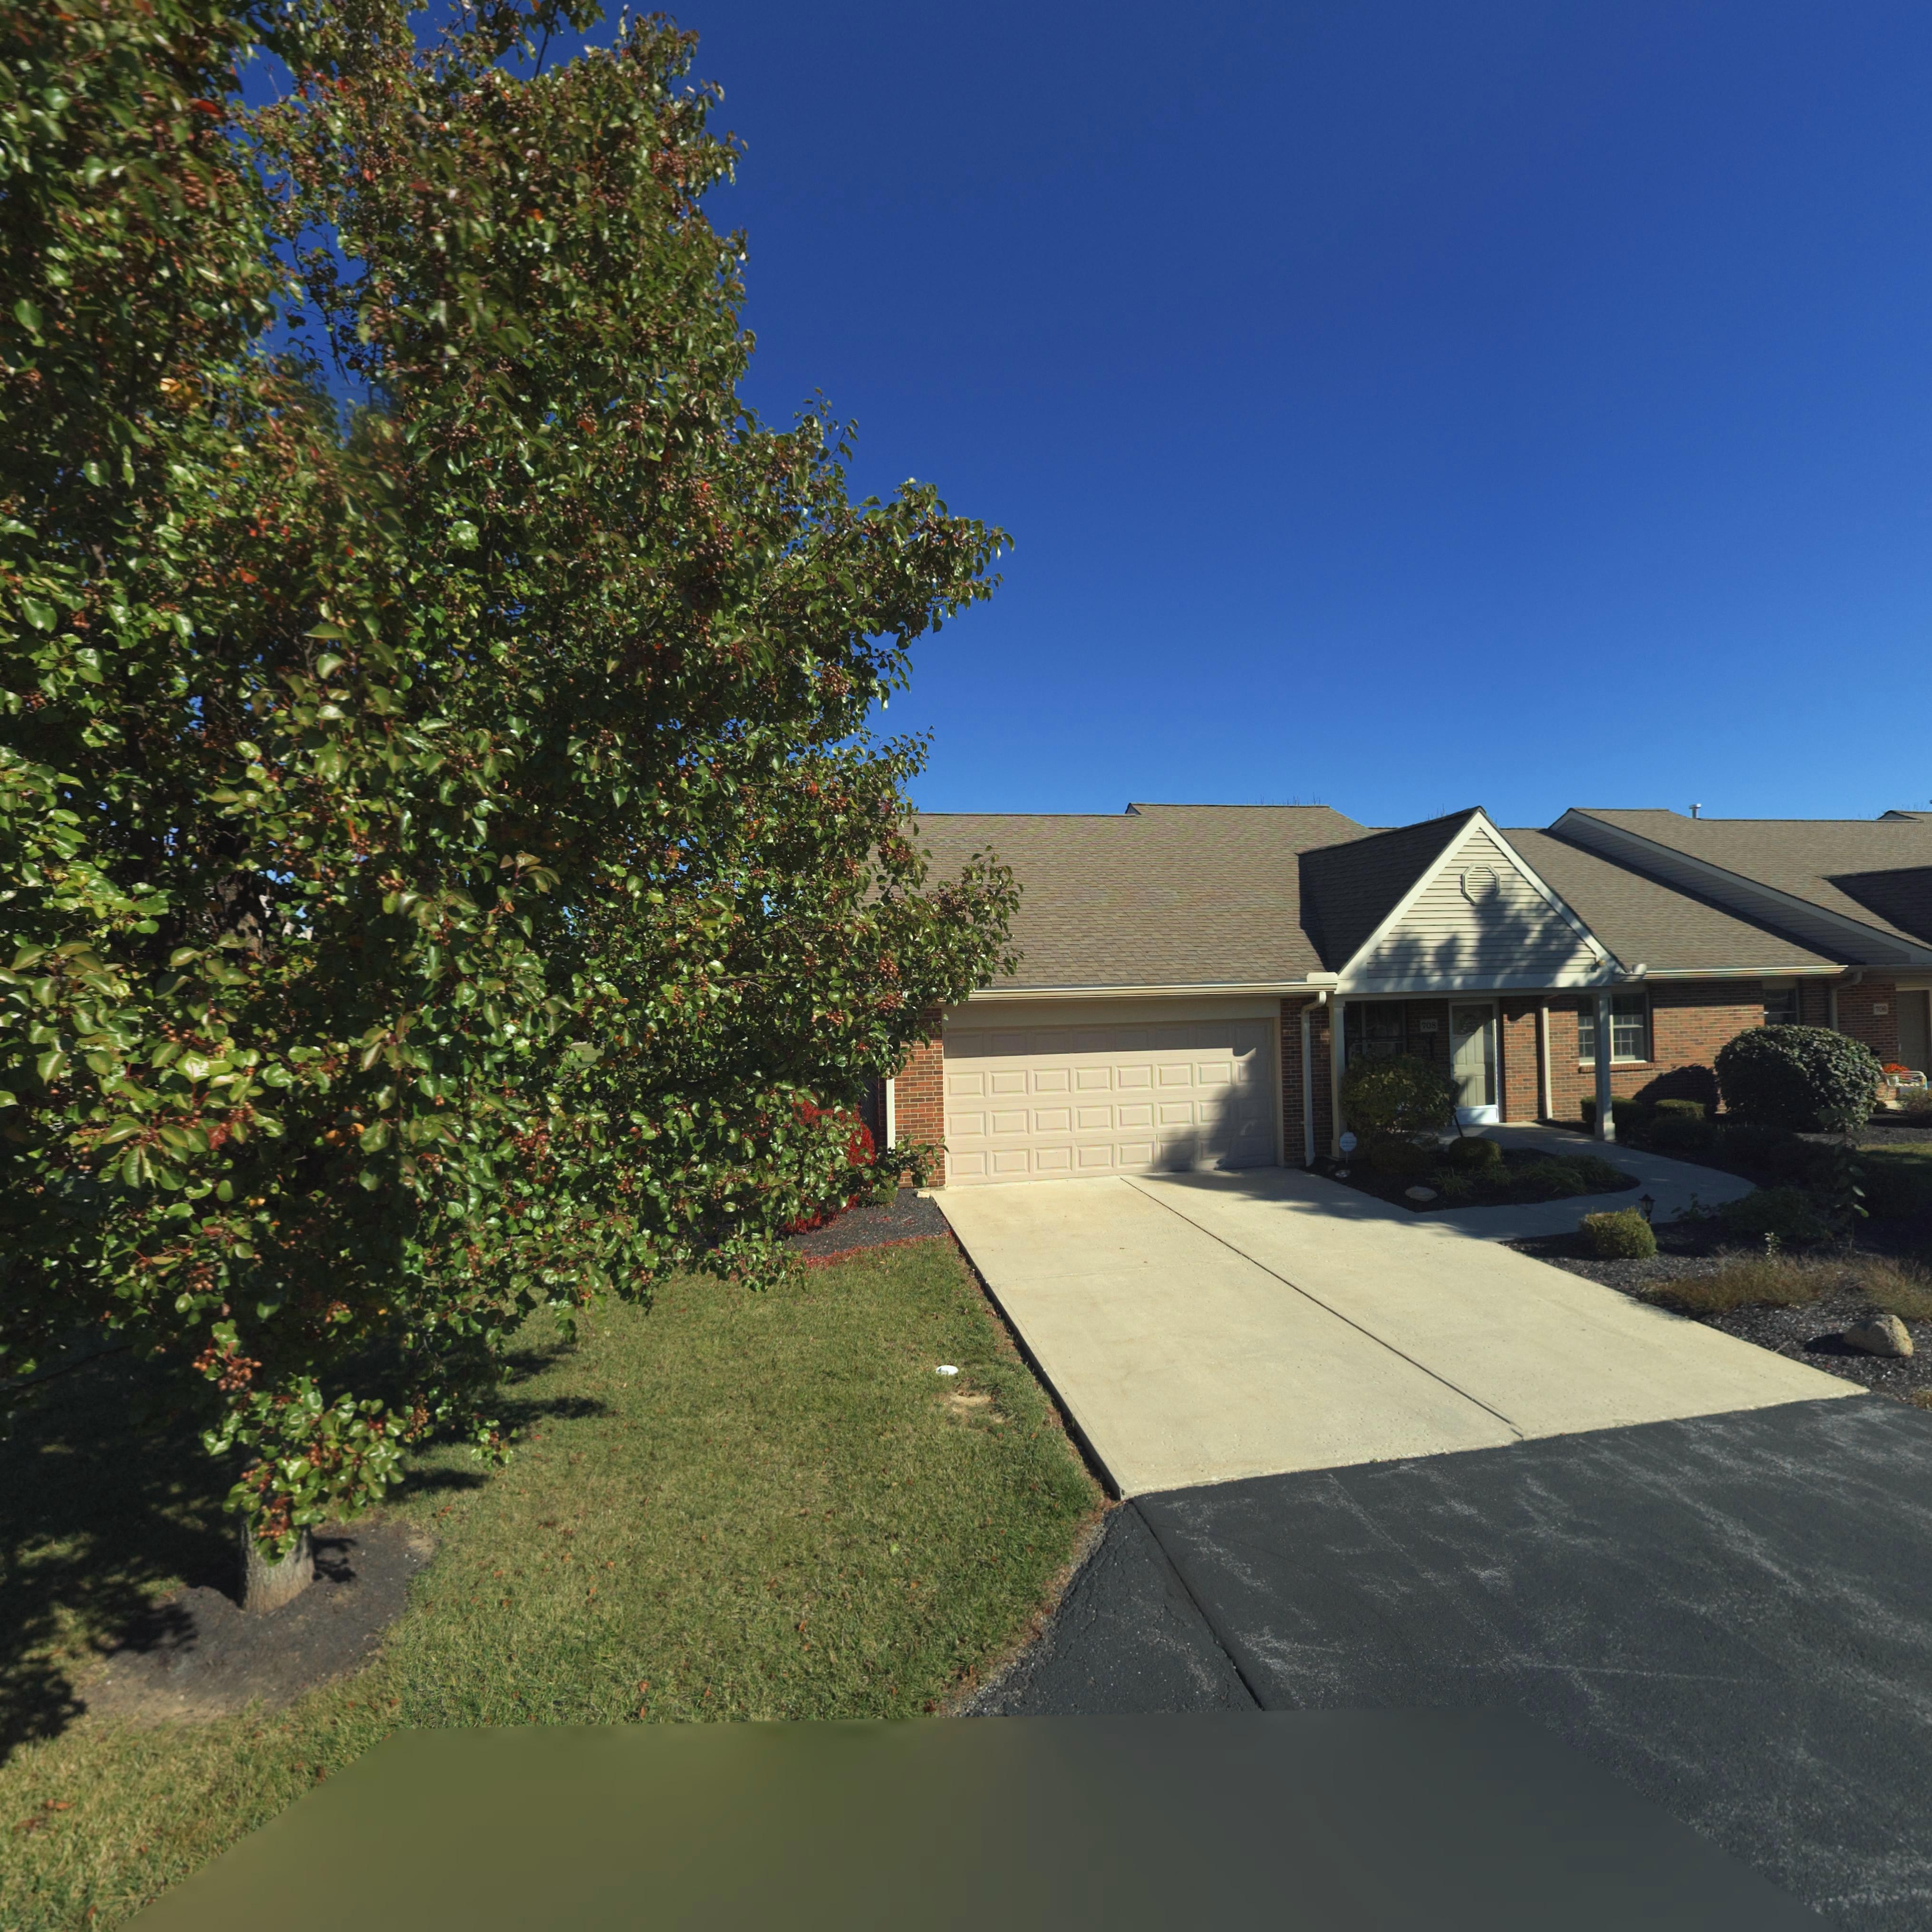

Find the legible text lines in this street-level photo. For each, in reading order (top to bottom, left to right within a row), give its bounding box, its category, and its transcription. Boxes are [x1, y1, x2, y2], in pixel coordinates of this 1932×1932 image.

[1874, 1005, 1887, 1012] StreetNumber: 706
[1421, 1021, 1437, 1029] StreetNumber: 708